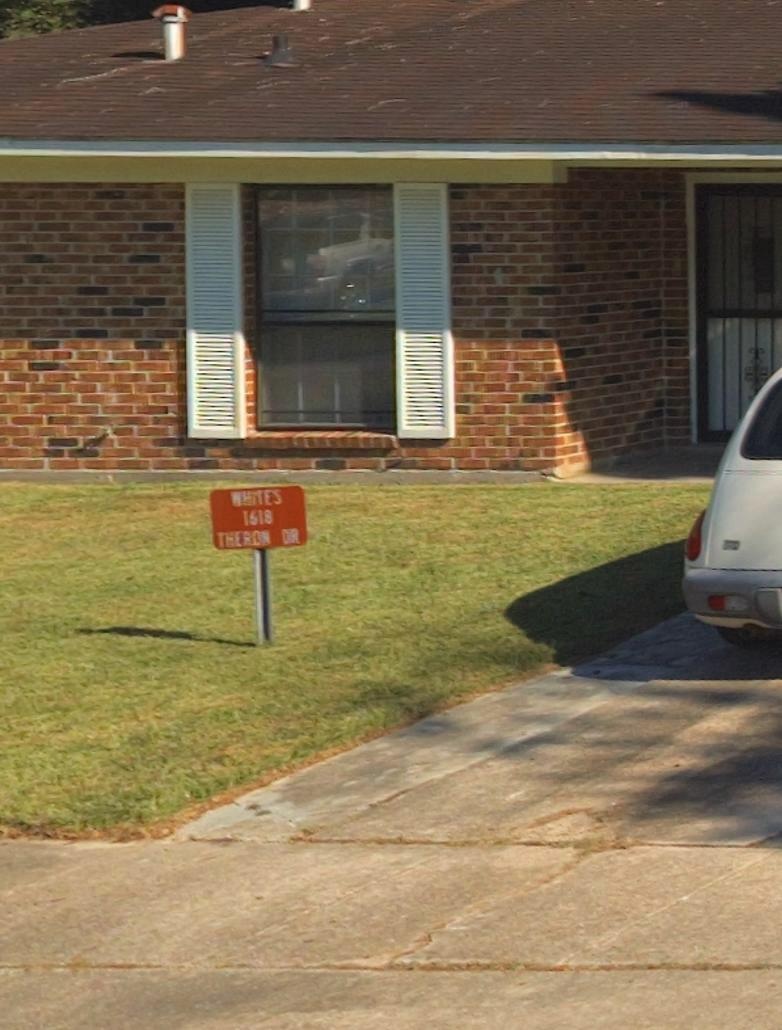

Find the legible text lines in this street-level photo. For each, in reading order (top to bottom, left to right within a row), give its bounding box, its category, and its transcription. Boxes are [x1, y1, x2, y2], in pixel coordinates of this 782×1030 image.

[229, 488, 282, 508] None: WHITES
[242, 509, 274, 527] StreetNumber: 1518
[216, 528, 301, 549] None: THERON DR